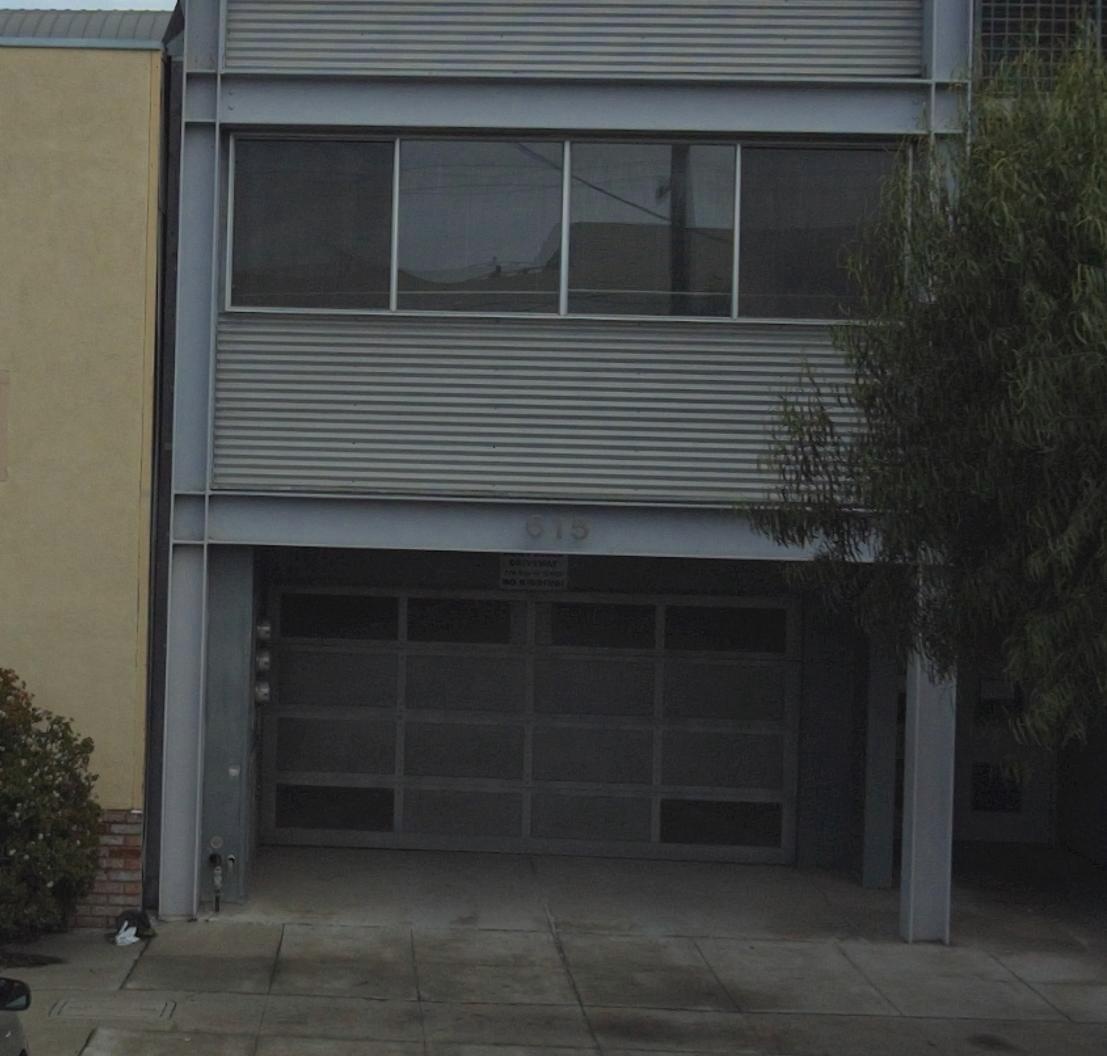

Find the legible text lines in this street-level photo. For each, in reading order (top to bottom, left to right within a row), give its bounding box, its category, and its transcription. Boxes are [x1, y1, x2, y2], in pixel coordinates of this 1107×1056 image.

[523, 510, 592, 542] StreetNumber: 615
[506, 557, 560, 567] None: DRIVEWAY
[500, 577, 517, 587] None: NO